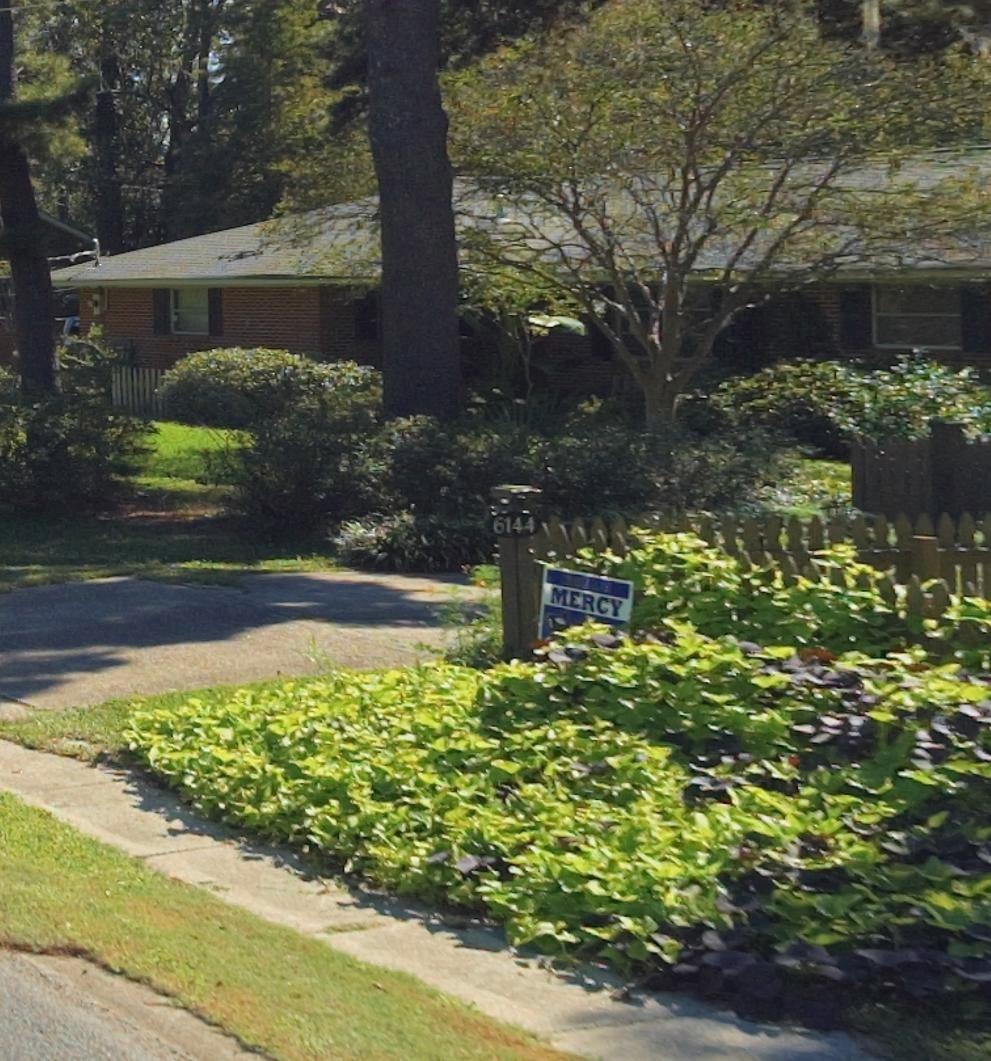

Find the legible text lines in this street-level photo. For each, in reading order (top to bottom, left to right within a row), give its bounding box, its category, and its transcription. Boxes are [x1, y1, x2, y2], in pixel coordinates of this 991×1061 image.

[491, 514, 537, 536] StreetNumber: 6144
[548, 583, 626, 619] None: MERCY